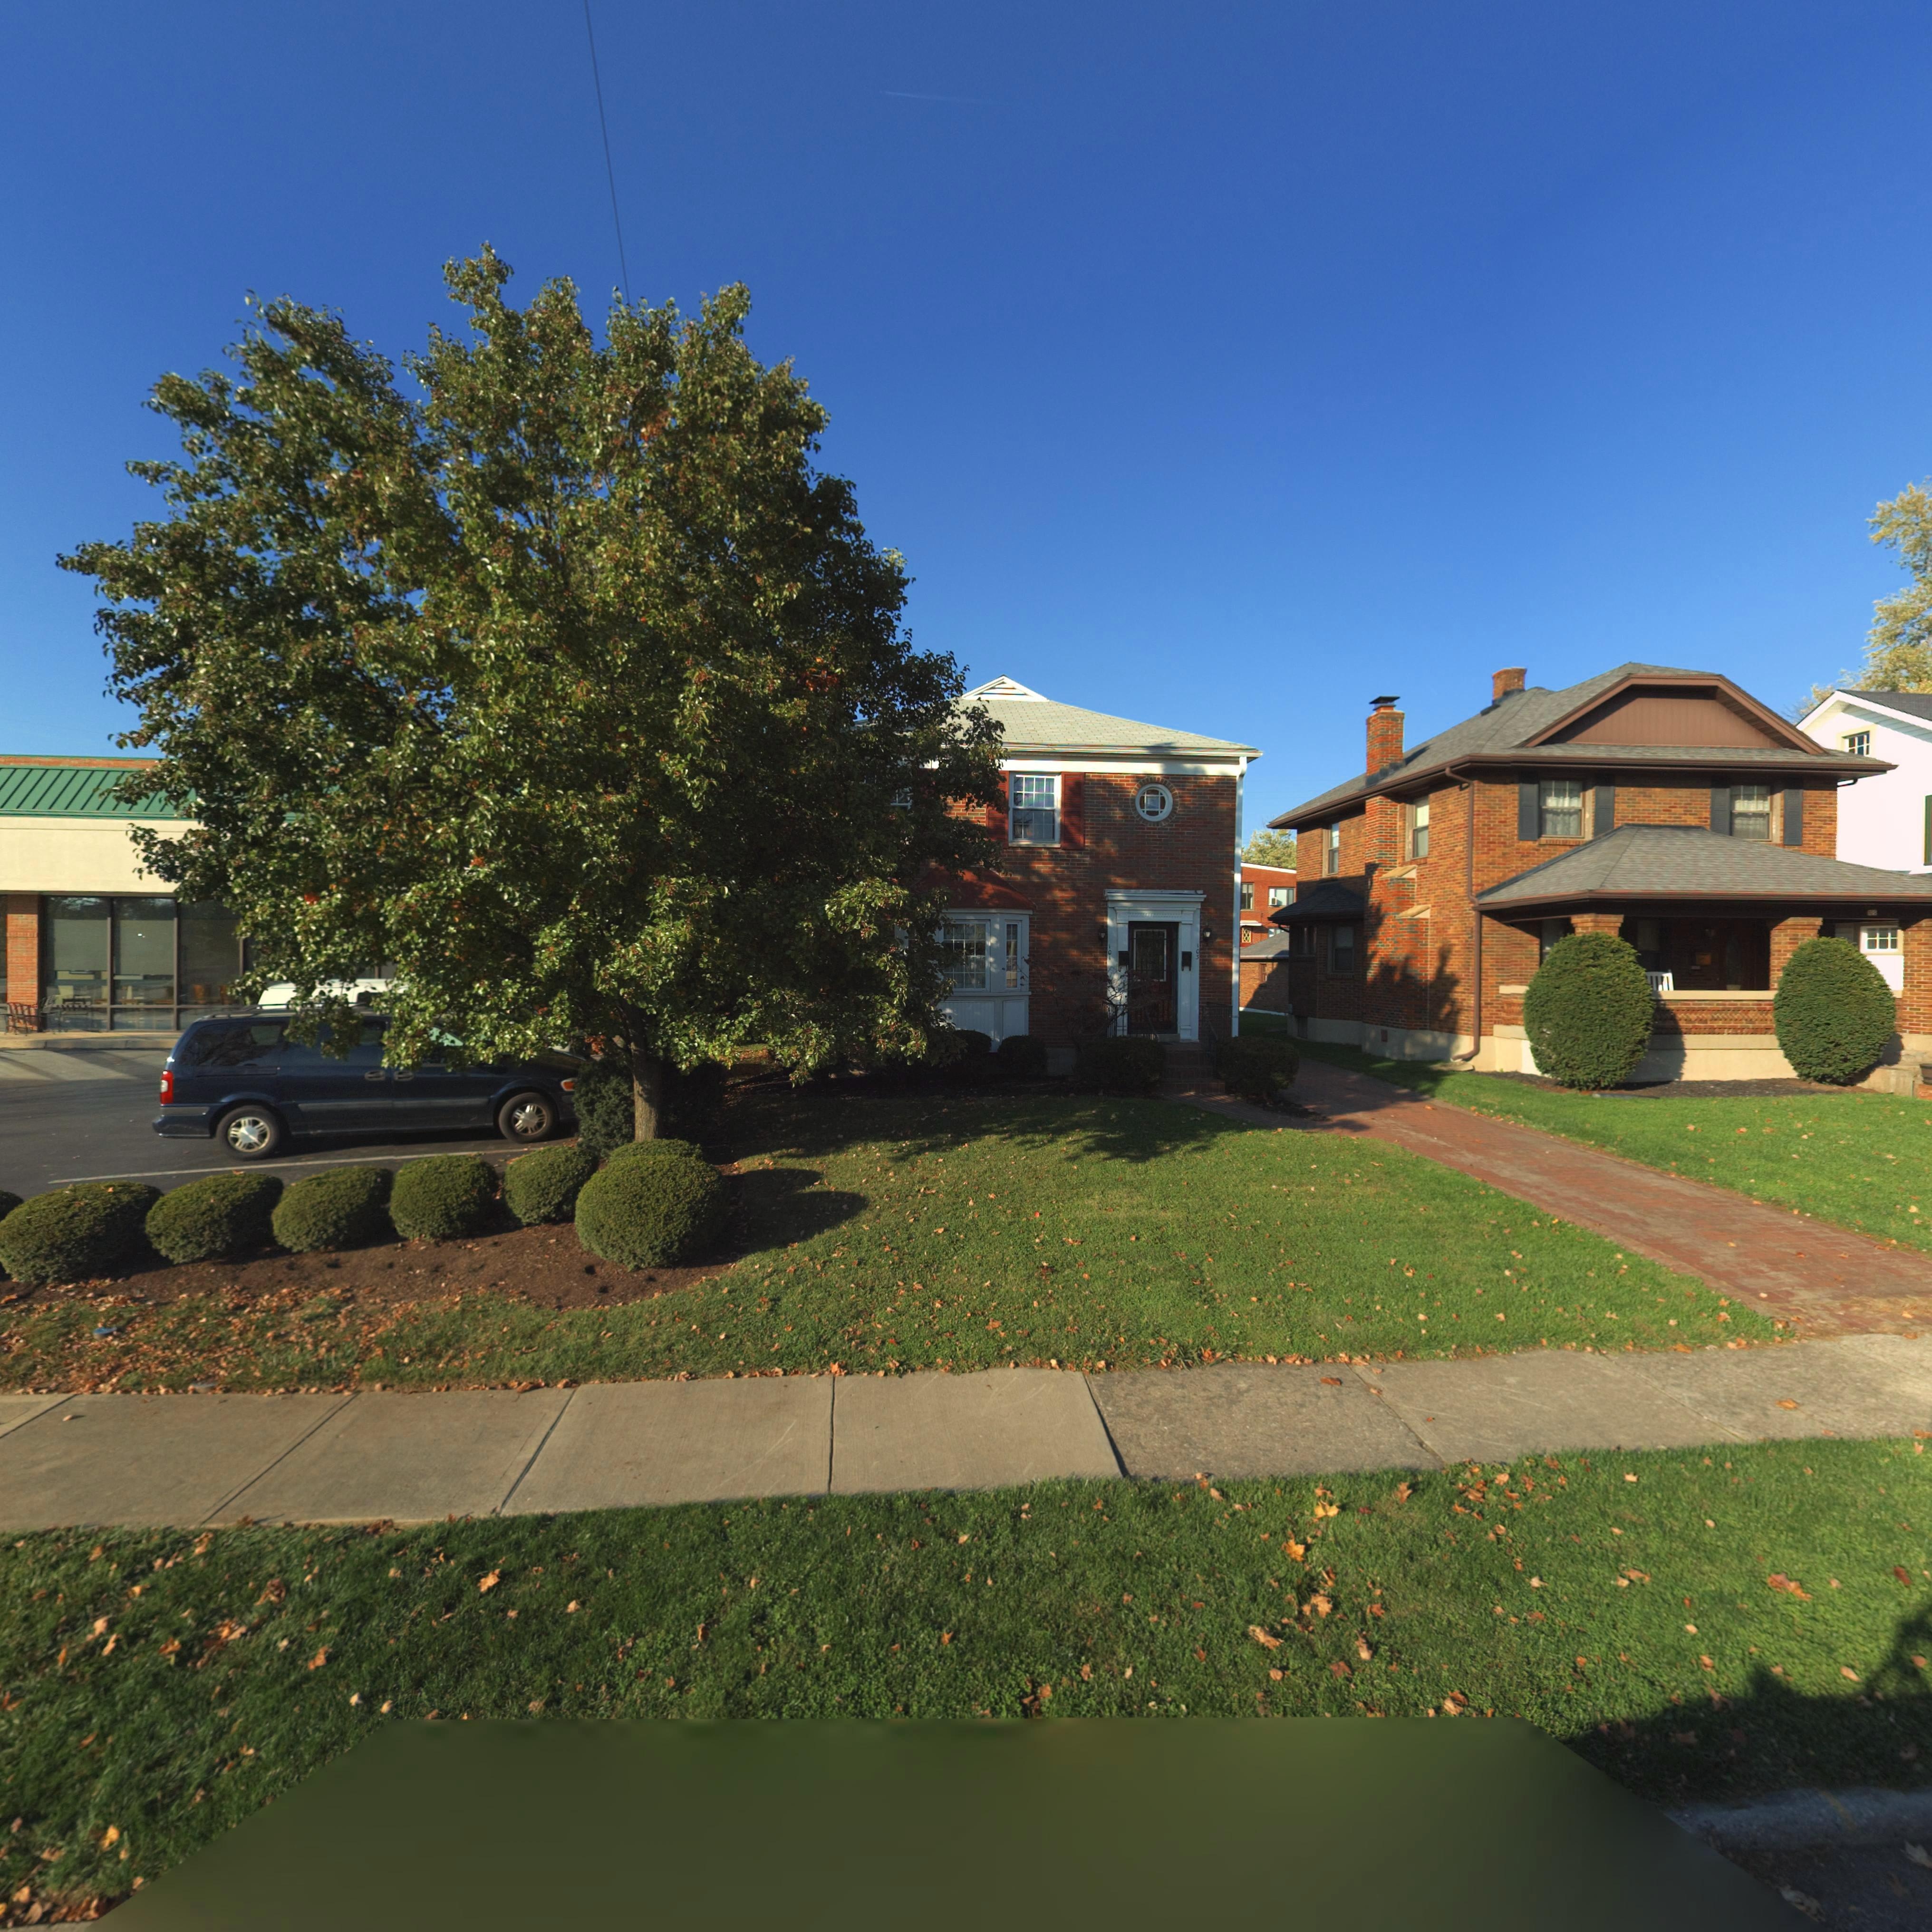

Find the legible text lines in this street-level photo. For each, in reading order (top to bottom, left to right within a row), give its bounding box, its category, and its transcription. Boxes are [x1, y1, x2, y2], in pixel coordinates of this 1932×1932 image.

[1108, 944, 1111, 960] StreetNumber: 101
[1196, 943, 1199, 959] StreetNumber: 103